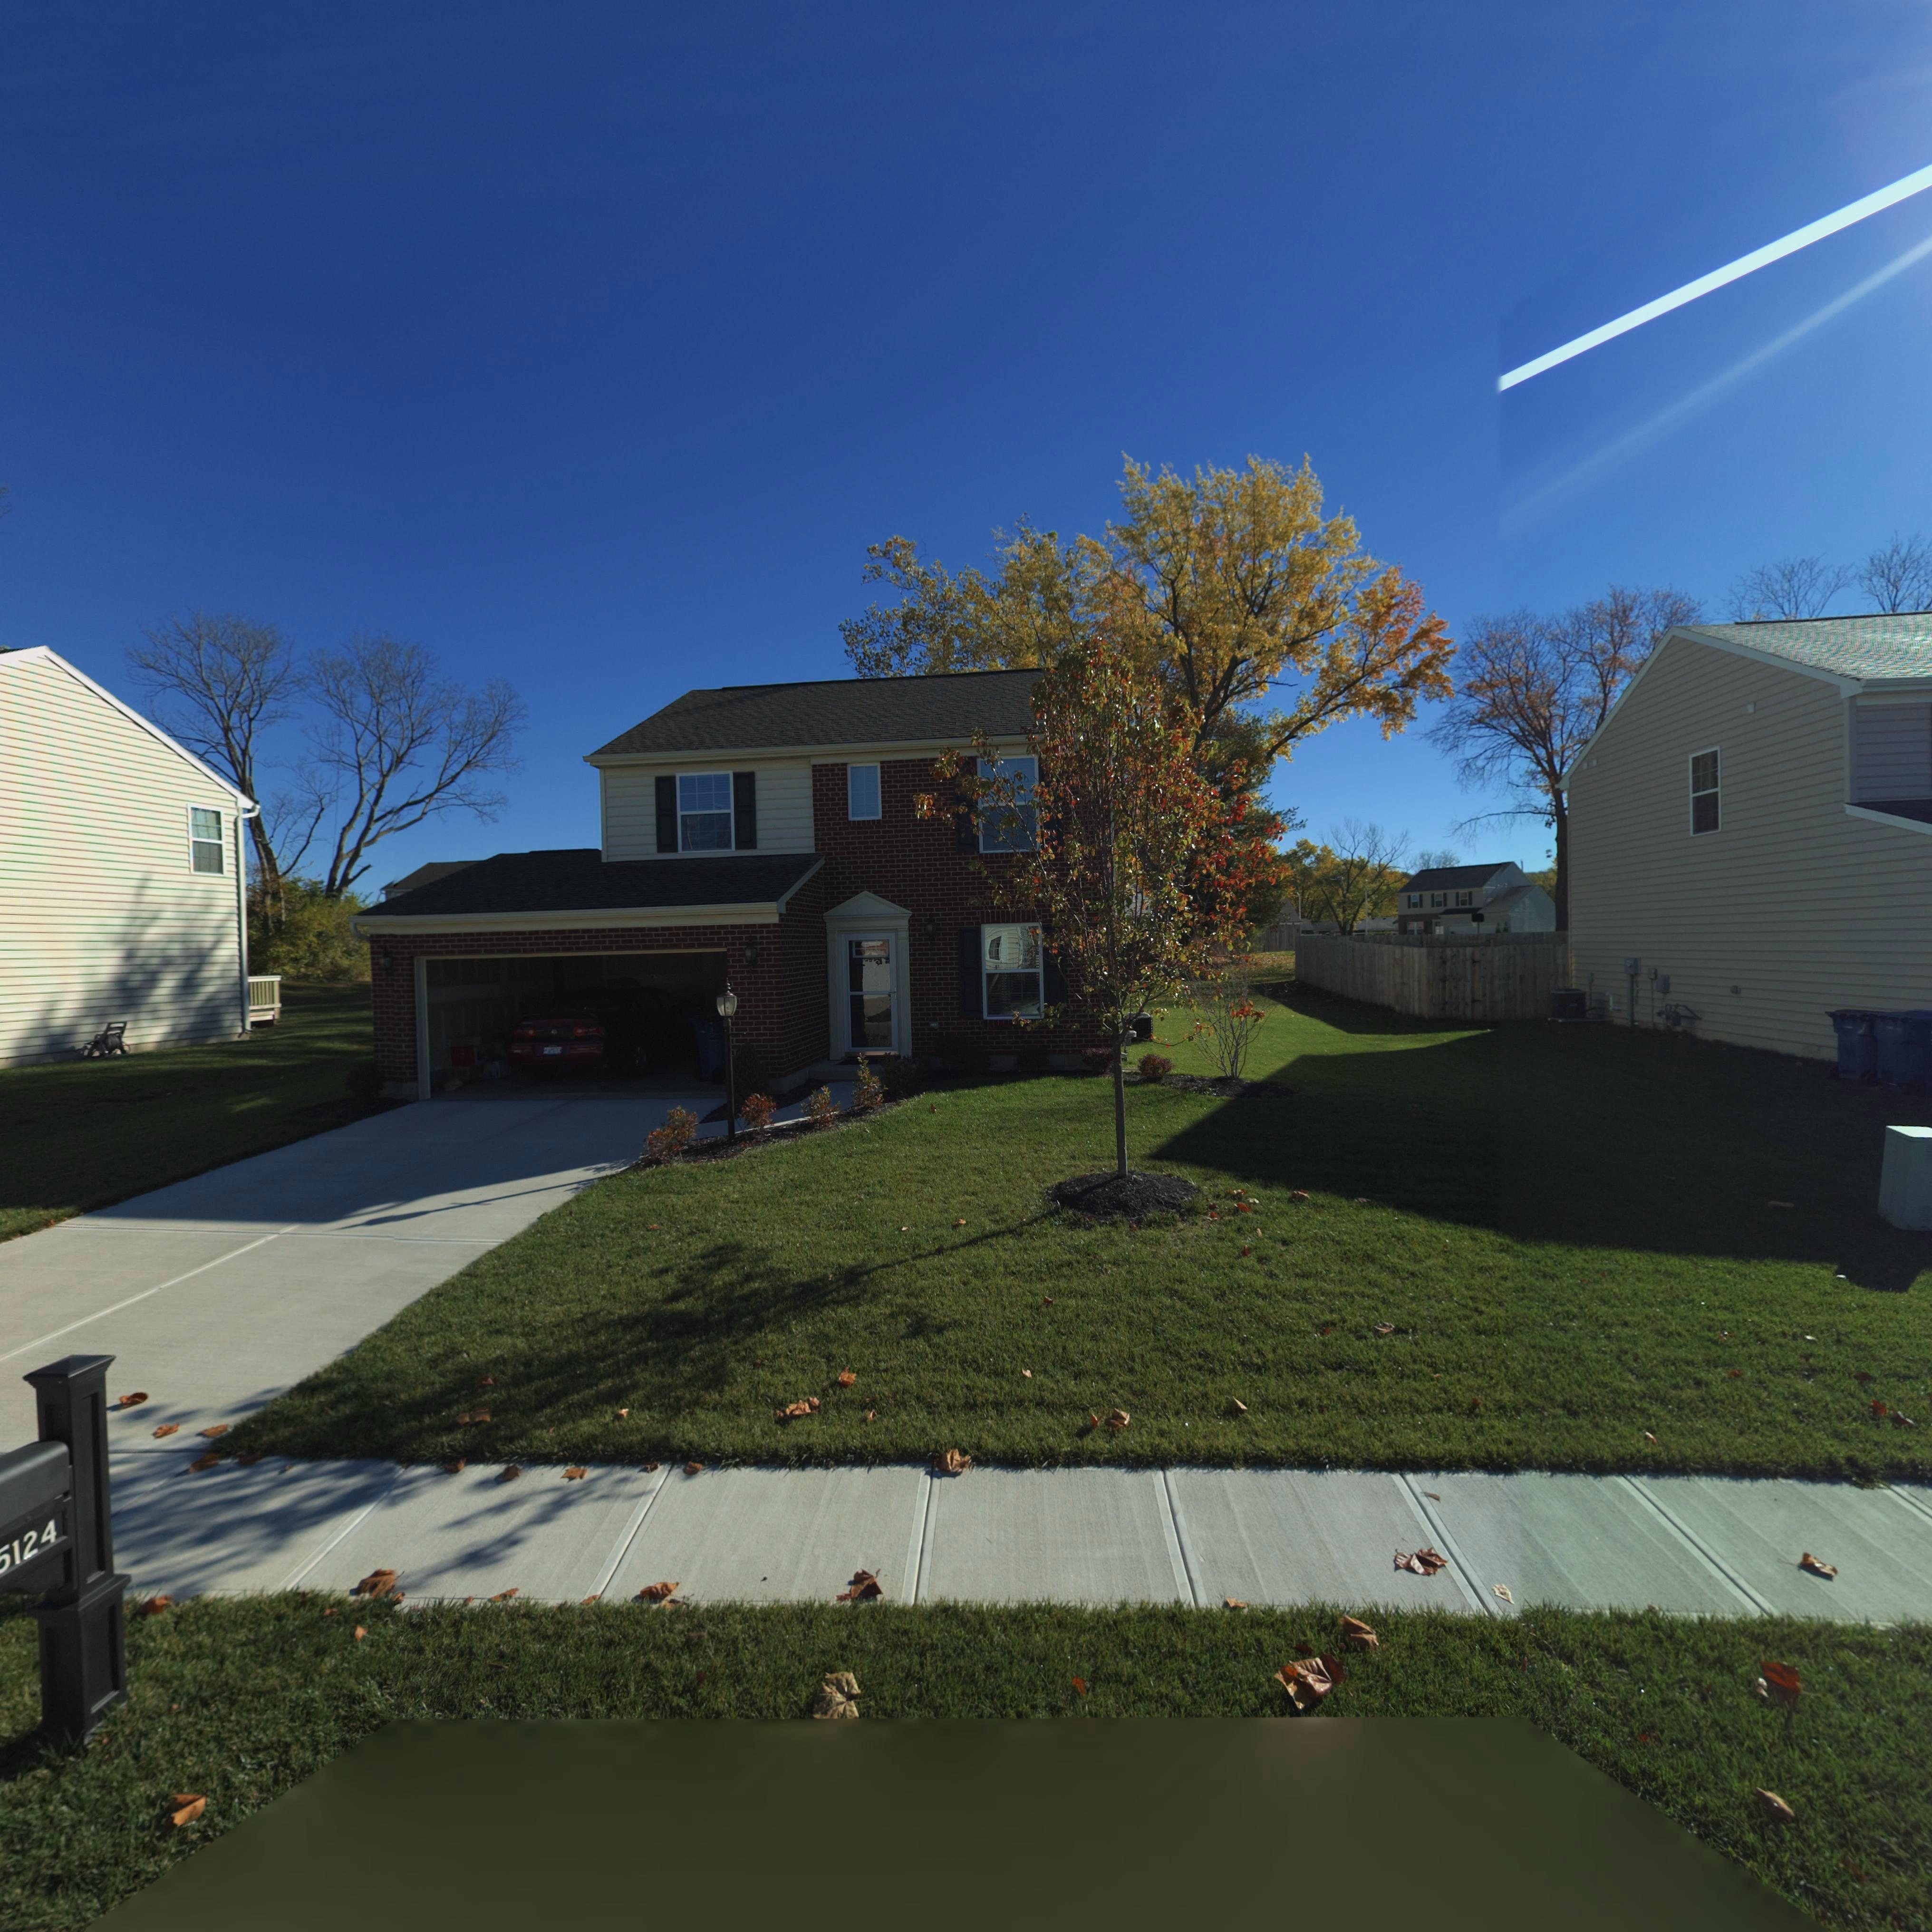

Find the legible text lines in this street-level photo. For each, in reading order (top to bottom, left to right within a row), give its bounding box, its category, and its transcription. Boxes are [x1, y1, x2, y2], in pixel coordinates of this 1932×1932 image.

[10, 1516, 59, 1567] StreetNumber: 124